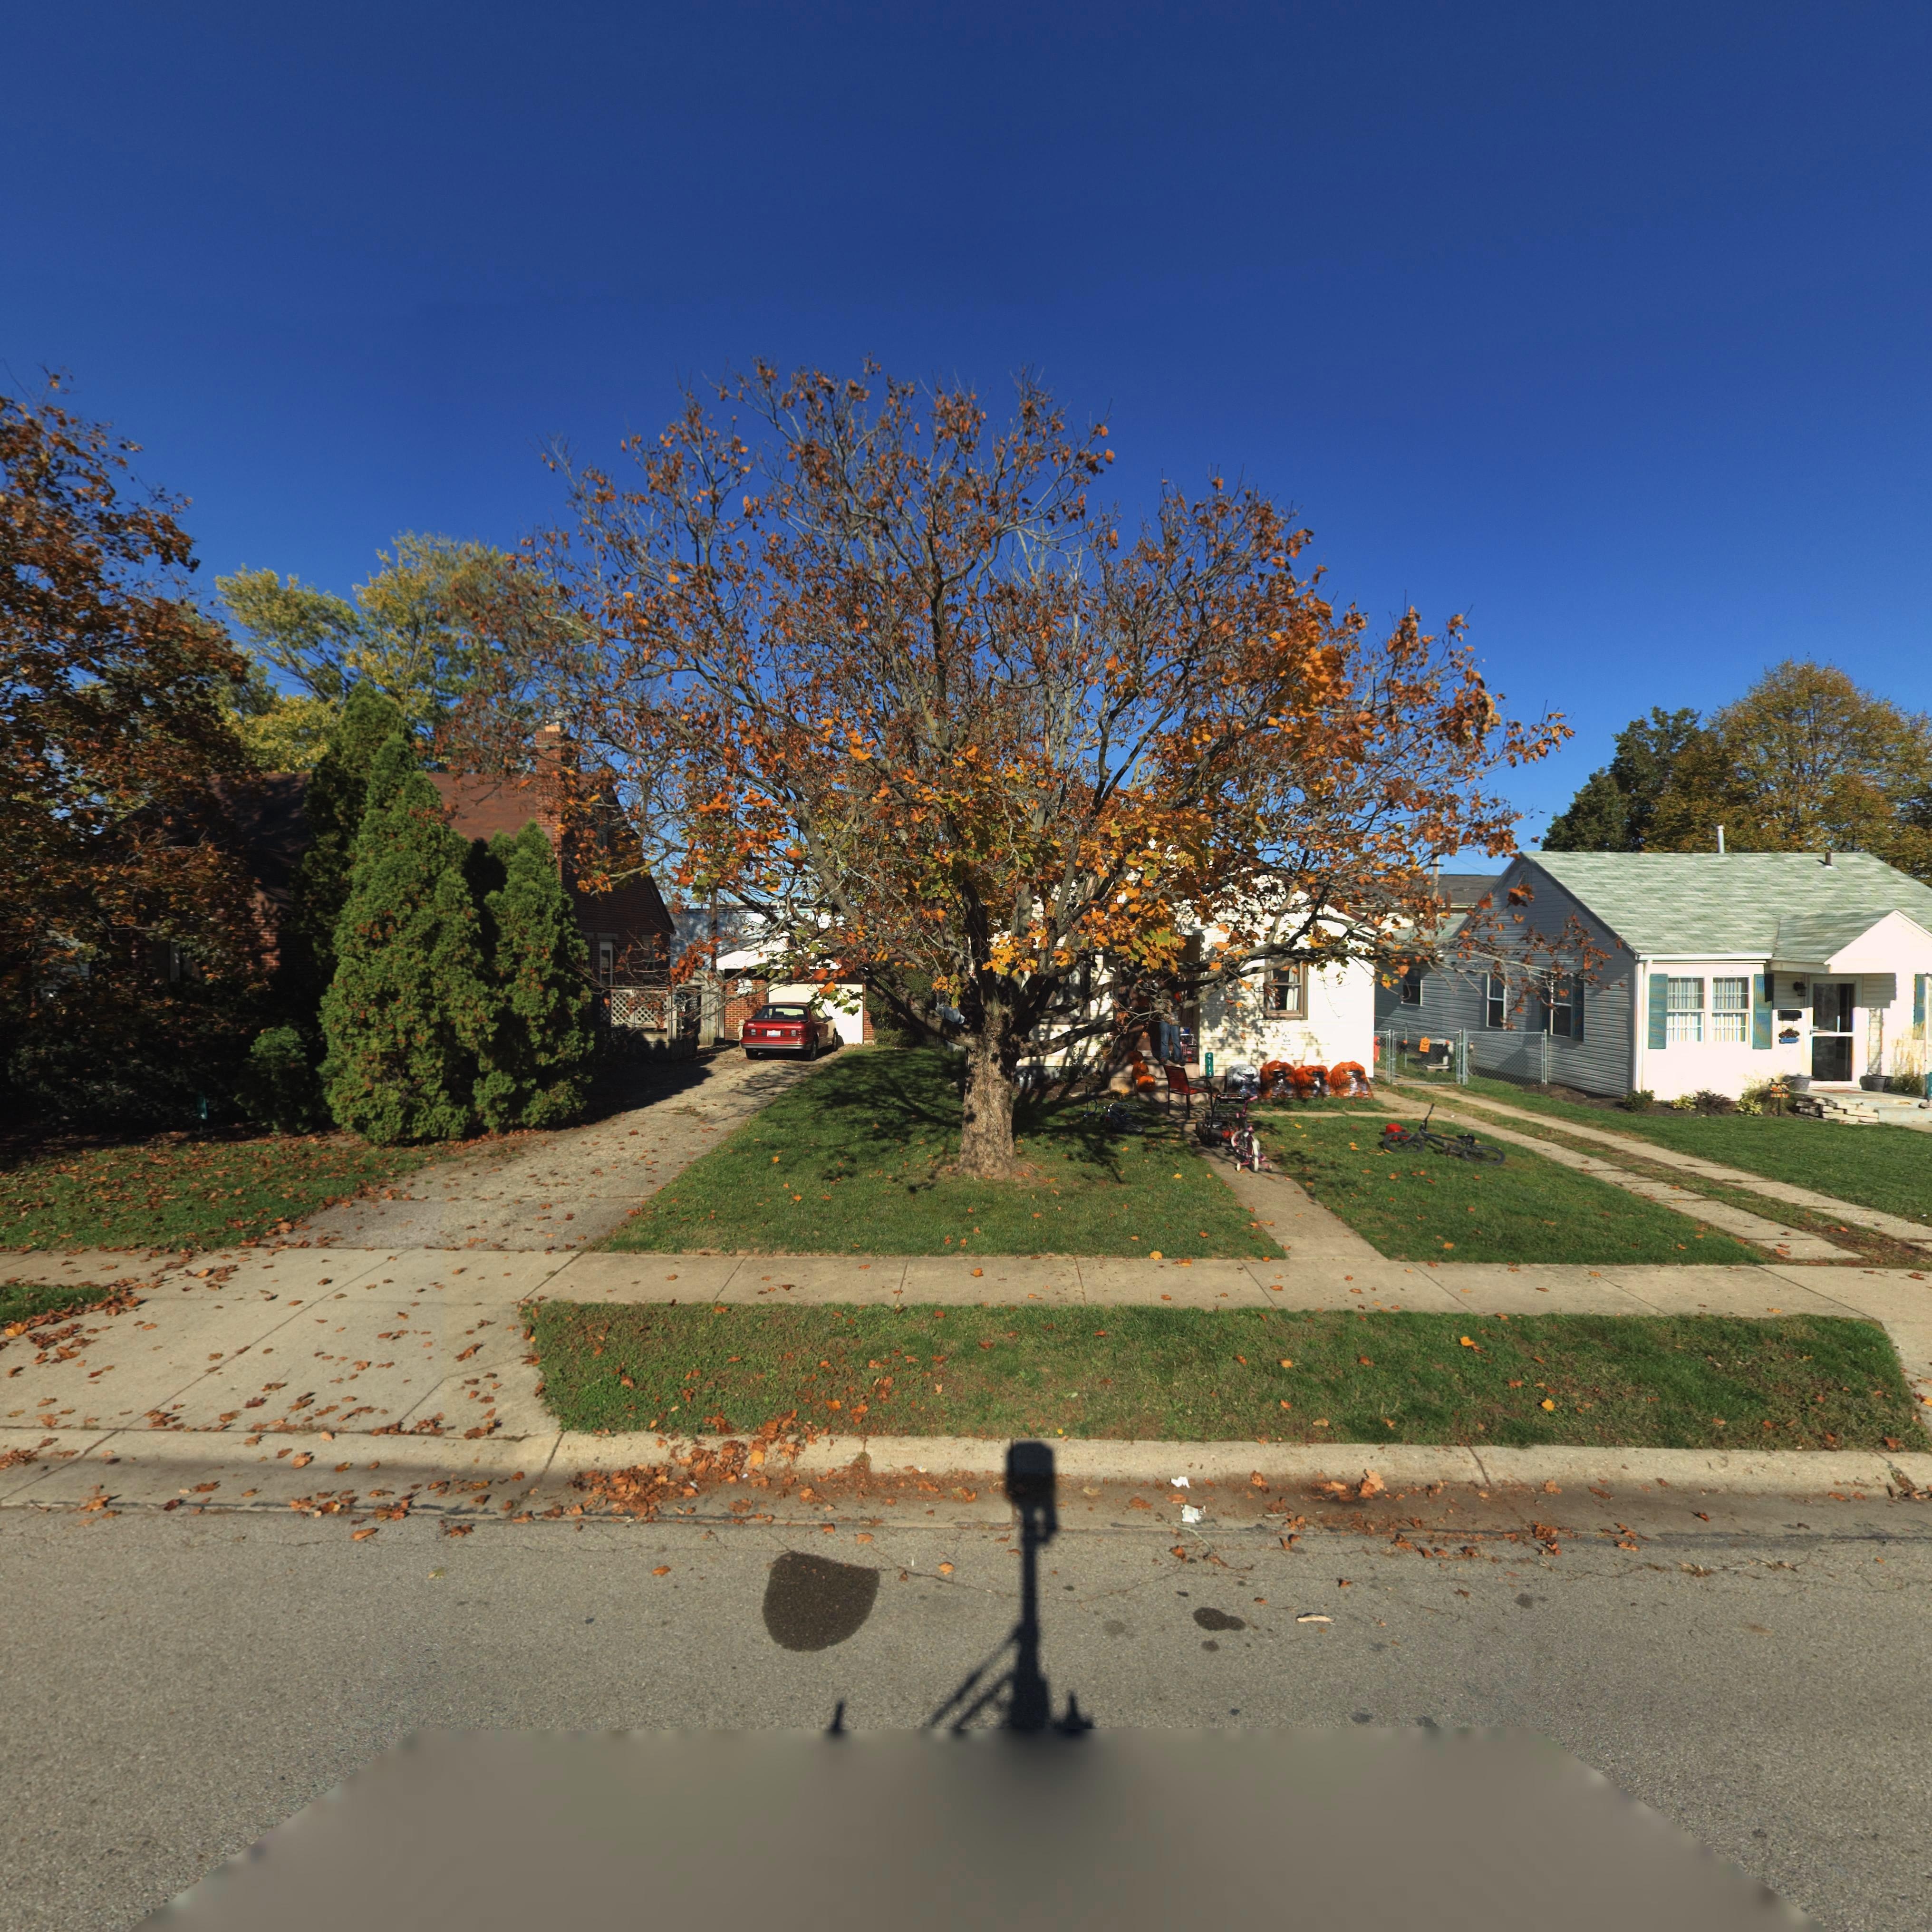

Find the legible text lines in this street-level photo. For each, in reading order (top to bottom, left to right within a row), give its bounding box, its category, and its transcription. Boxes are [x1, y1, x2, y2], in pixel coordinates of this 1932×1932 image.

[1206, 1052, 1213, 1078] StreetNumber: 4713